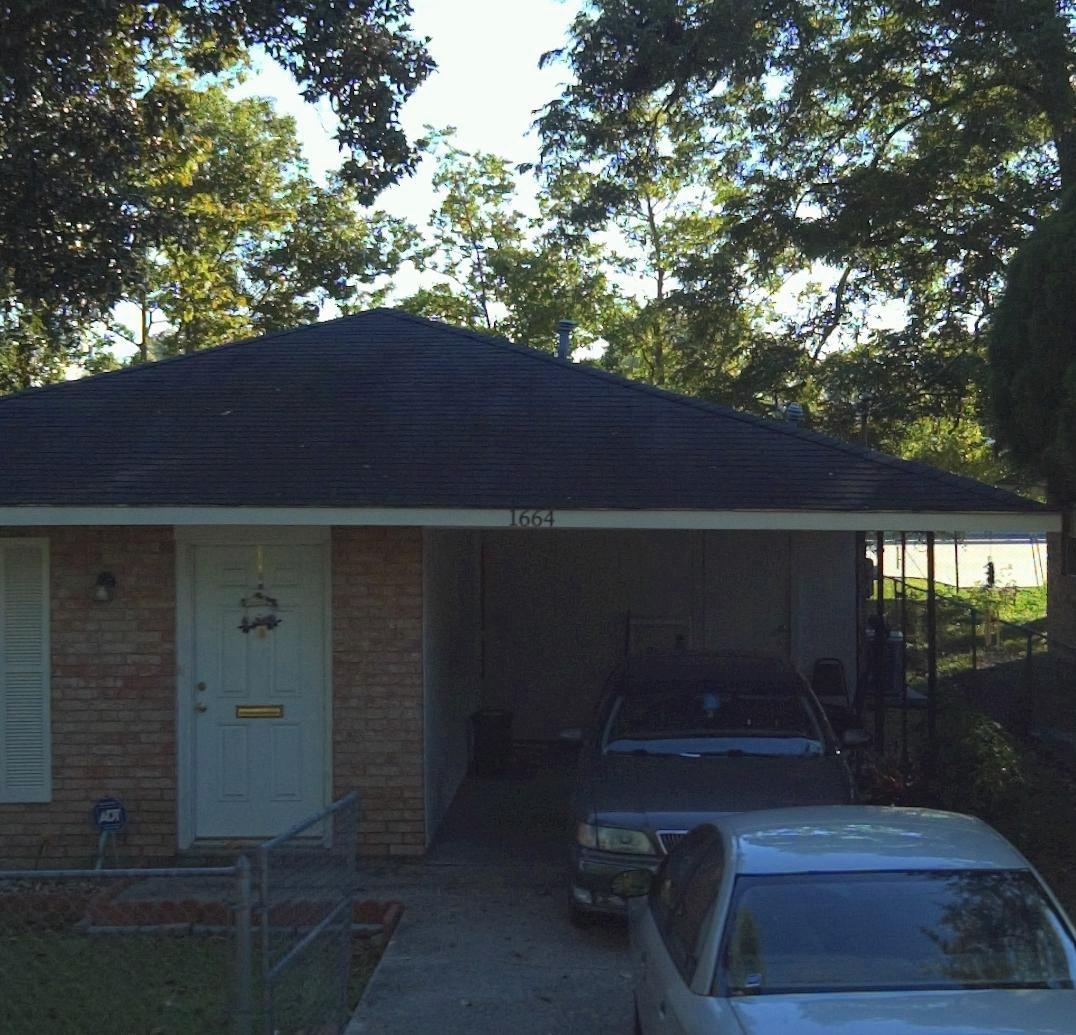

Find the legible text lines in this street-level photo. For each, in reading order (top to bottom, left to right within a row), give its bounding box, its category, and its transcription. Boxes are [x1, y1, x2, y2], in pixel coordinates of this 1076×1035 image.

[506, 507, 557, 528] StreetNumber: 1664
[96, 807, 123, 825] None: ADT